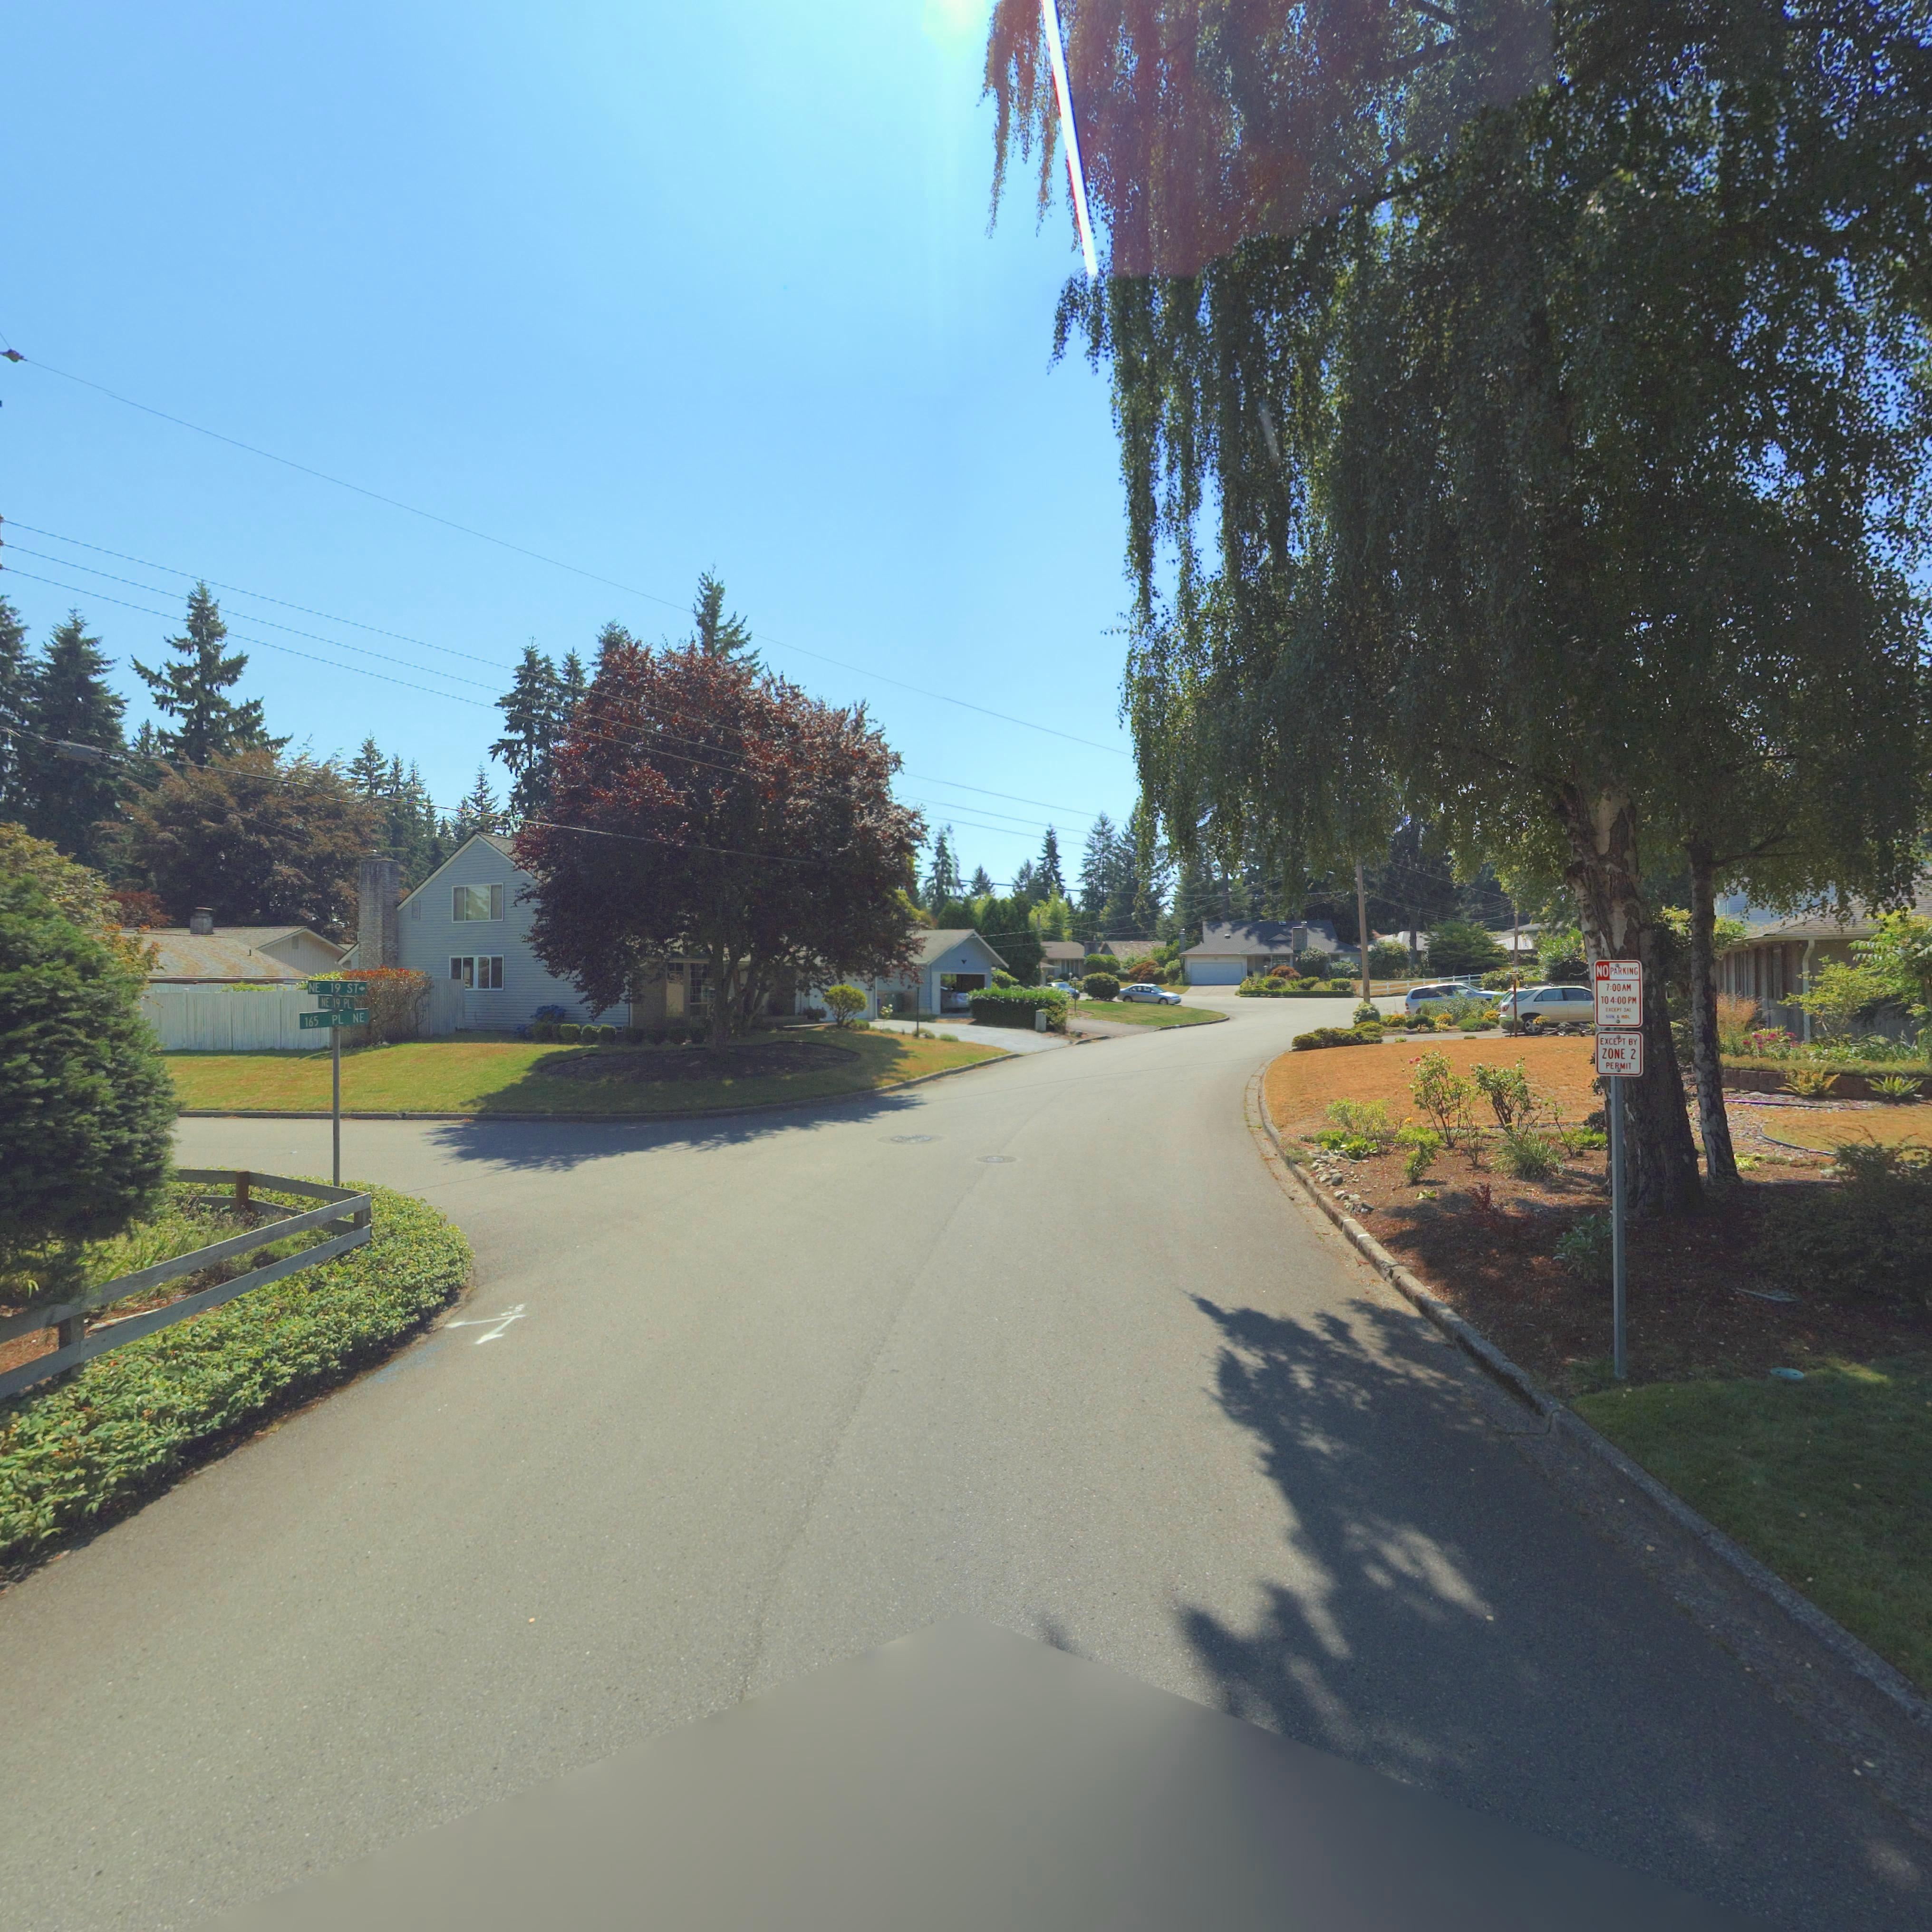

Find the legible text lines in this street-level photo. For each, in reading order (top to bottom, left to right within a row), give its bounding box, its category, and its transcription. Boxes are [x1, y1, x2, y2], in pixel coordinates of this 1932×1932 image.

[309, 982, 360, 994] StreetName: NE19 ST
[320, 996, 352, 1009] StreetName: NE 19 PL
[304, 1011, 364, 1026] StreetName: 165 PL NE